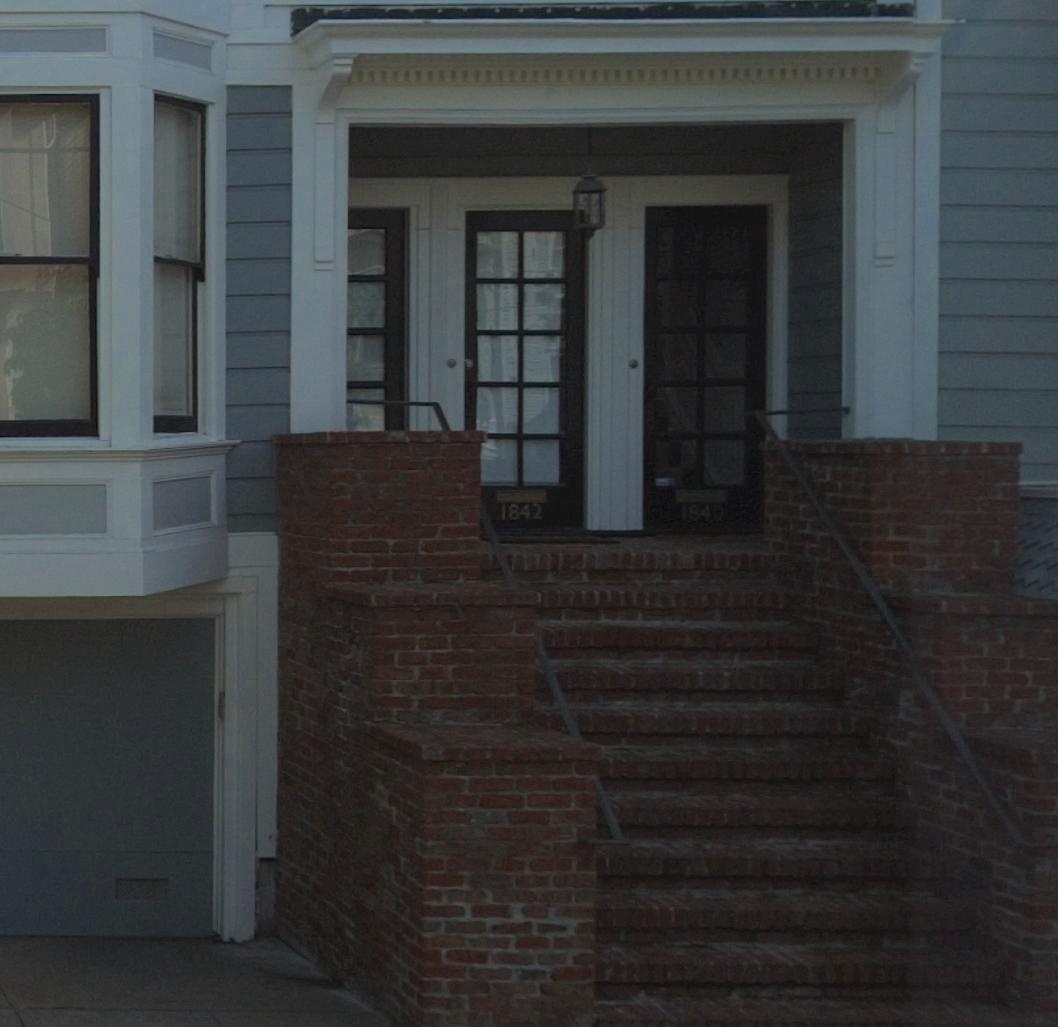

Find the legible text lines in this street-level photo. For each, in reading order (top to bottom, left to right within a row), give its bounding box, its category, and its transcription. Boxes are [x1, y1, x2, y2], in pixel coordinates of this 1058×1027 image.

[500, 500, 544, 522] StreetNumber: 1842
[678, 502, 728, 524] StreetNumber: 1840